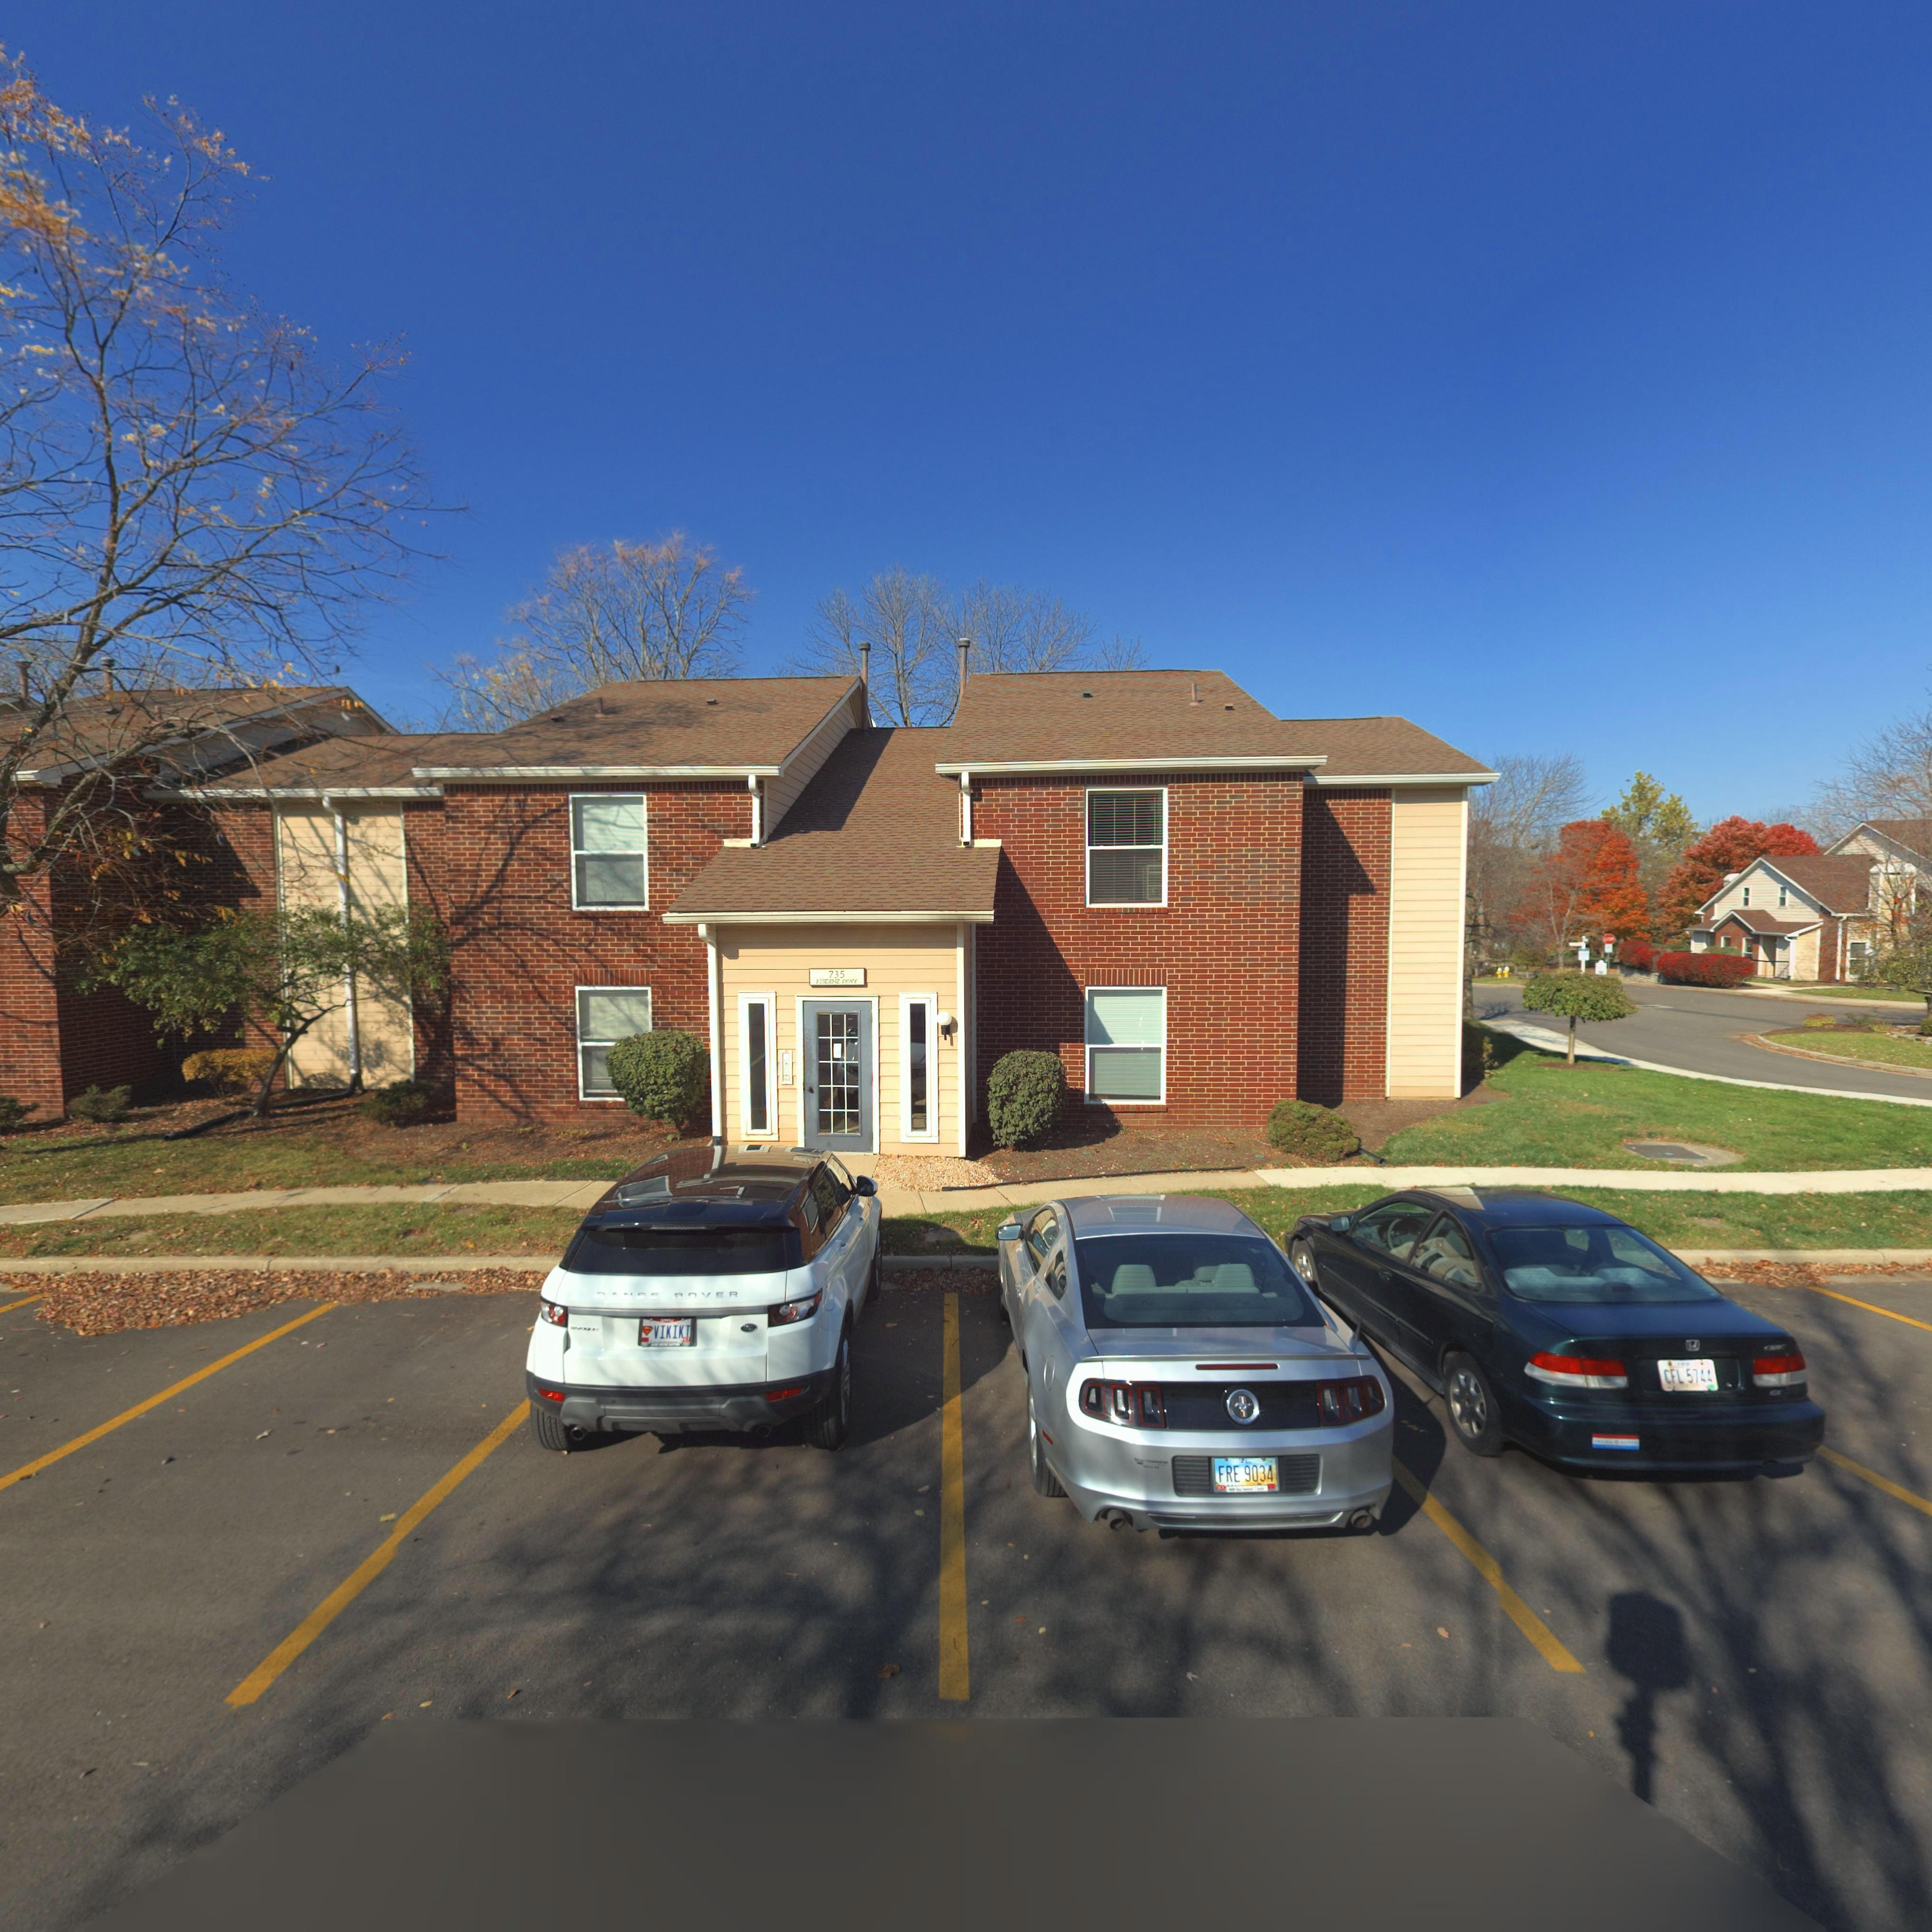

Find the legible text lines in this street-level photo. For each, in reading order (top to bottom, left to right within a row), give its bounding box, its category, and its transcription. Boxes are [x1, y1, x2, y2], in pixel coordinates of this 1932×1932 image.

[828, 969, 844, 978] StreetNumber: 735
[816, 978, 858, 984] StreetName: RESIDENZ PKWY
[595, 1290, 740, 1301] None: RANGE ROVER
[660, 1317, 674, 1323] None: OHIO
[653, 1324, 690, 1338] None: VIKIKT
[1764, 1344, 1787, 1352] None: CIVIC
[1662, 1368, 1714, 1384] None: CFL 5744
[1593, 1439, 1639, 1446] None: OBAMA * BIDEN
[1218, 1464, 1274, 1484] None: FRE 9034